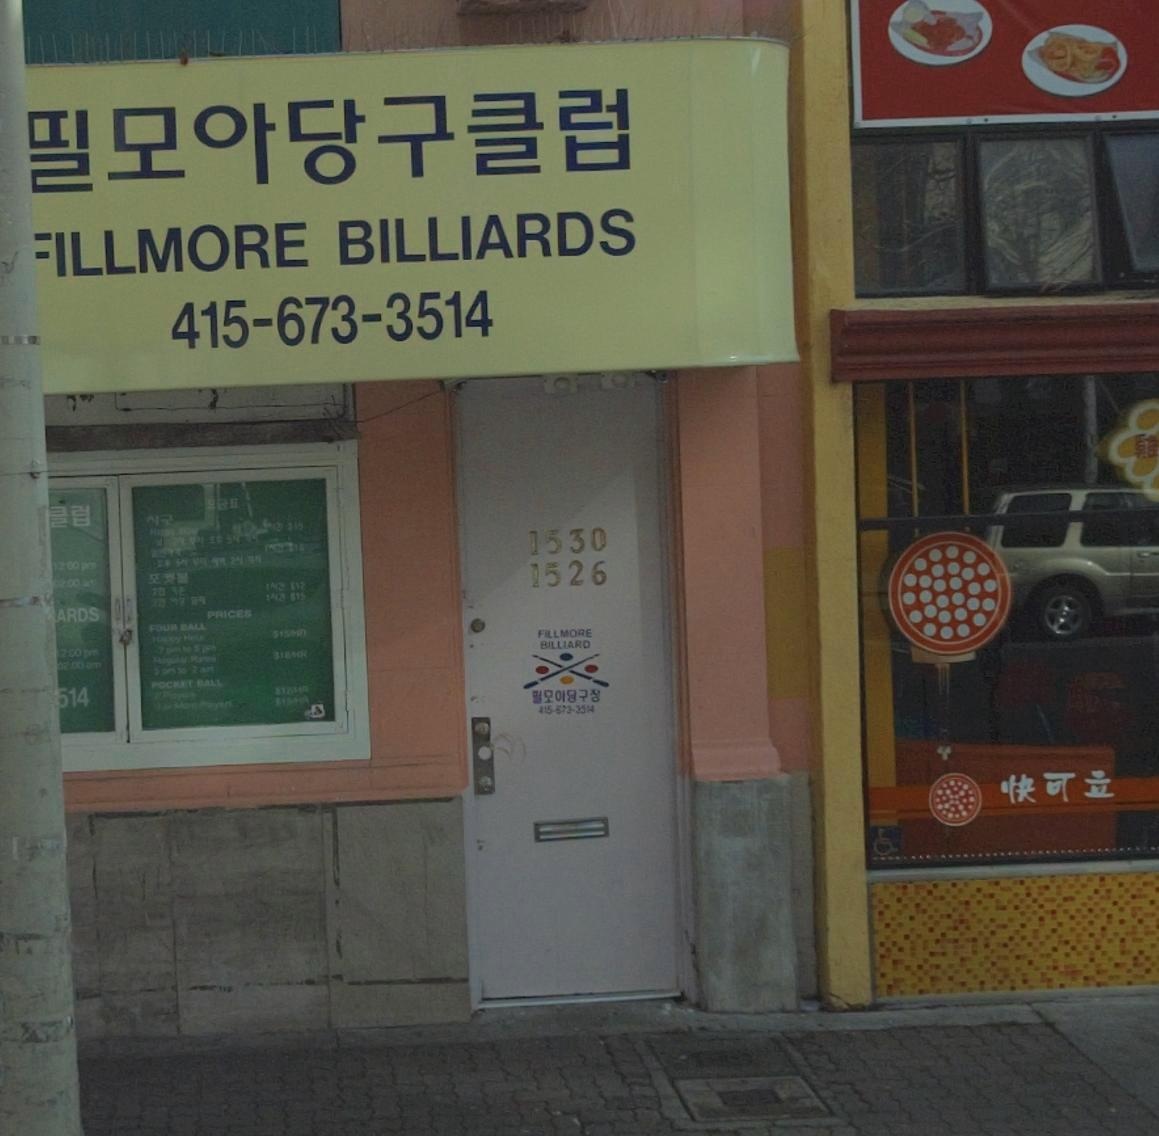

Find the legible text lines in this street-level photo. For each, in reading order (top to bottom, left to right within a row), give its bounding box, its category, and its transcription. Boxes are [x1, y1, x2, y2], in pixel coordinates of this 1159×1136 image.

[50, 203, 642, 283] BusinessName: ILLMORE BILLIARDS
[166, 284, 499, 356] None: 415-673-3514
[526, 524, 609, 559] StreetNumber: 1530
[50, 558, 99, 574] None: 12:00 pm
[527, 556, 611, 592] StreetNumber: 1526
[48, 575, 101, 594] None: 02:00 **
[53, 604, 103, 627] None: ARDS
[204, 606, 255, 623] None: PRICES
[535, 626, 595, 641] BusinessName: FILLMORE
[58, 646, 102, 660] None: 2:00 pm
[538, 638, 595, 653] BusinessName: BILLIARD
[60, 658, 105, 673] None: 2:00 am
[149, 675, 228, 692] None: POCKET BALL
[66, 683, 92, 711] None: 14+
[535, 702, 599, 717] None: 415-5*3-*514